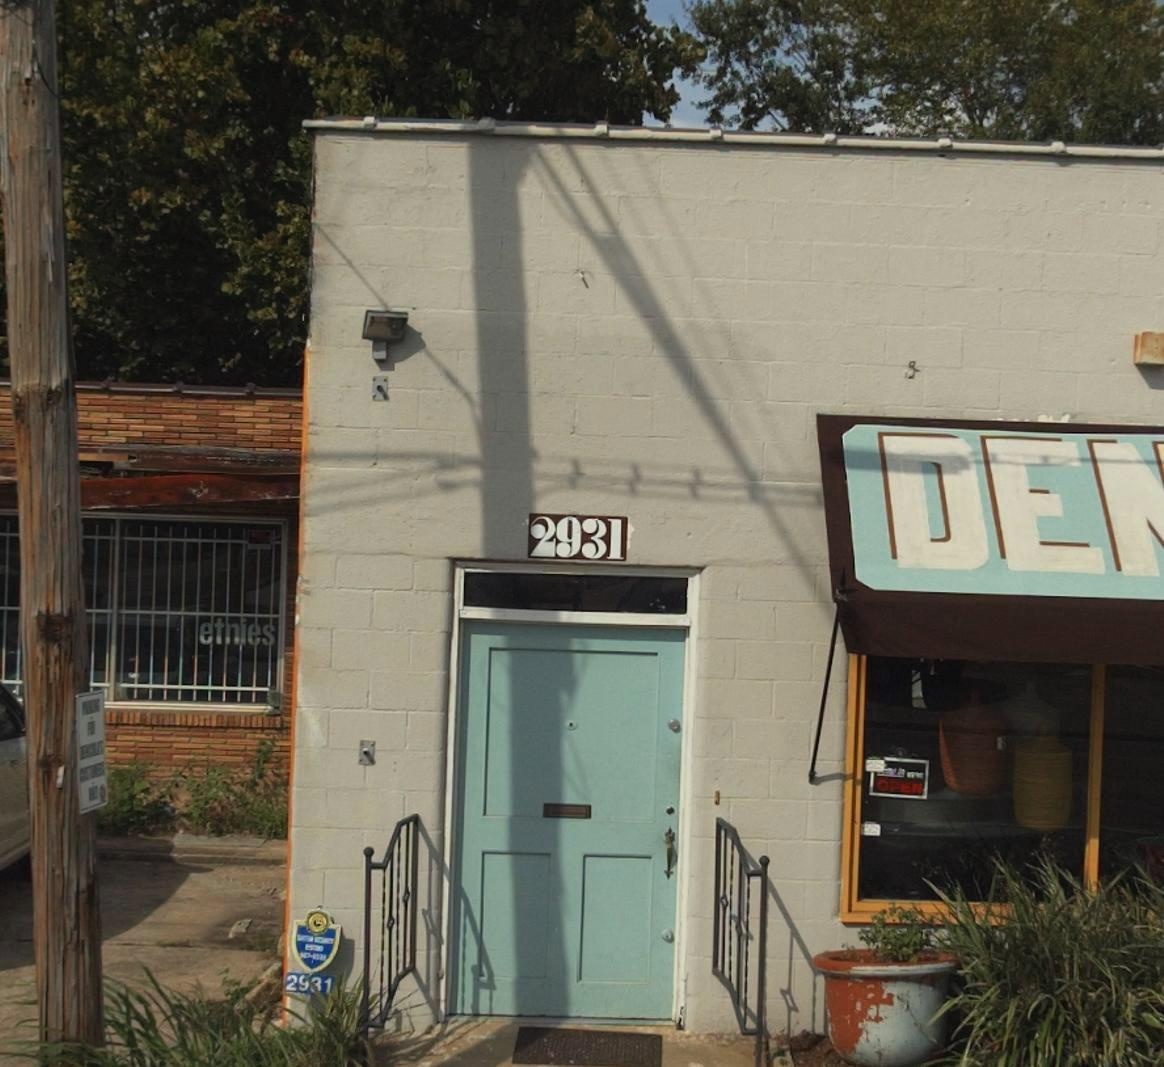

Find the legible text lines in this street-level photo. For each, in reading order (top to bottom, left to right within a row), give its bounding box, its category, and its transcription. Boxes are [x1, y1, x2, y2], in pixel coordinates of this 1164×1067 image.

[873, 427, 1164, 577] BusinessName: DE*
[529, 513, 626, 562] StreetNumber: 2931
[194, 612, 278, 649] None: etnies
[872, 777, 925, 798] None: OPEN
[284, 973, 334, 995] StreetNumber: 2931